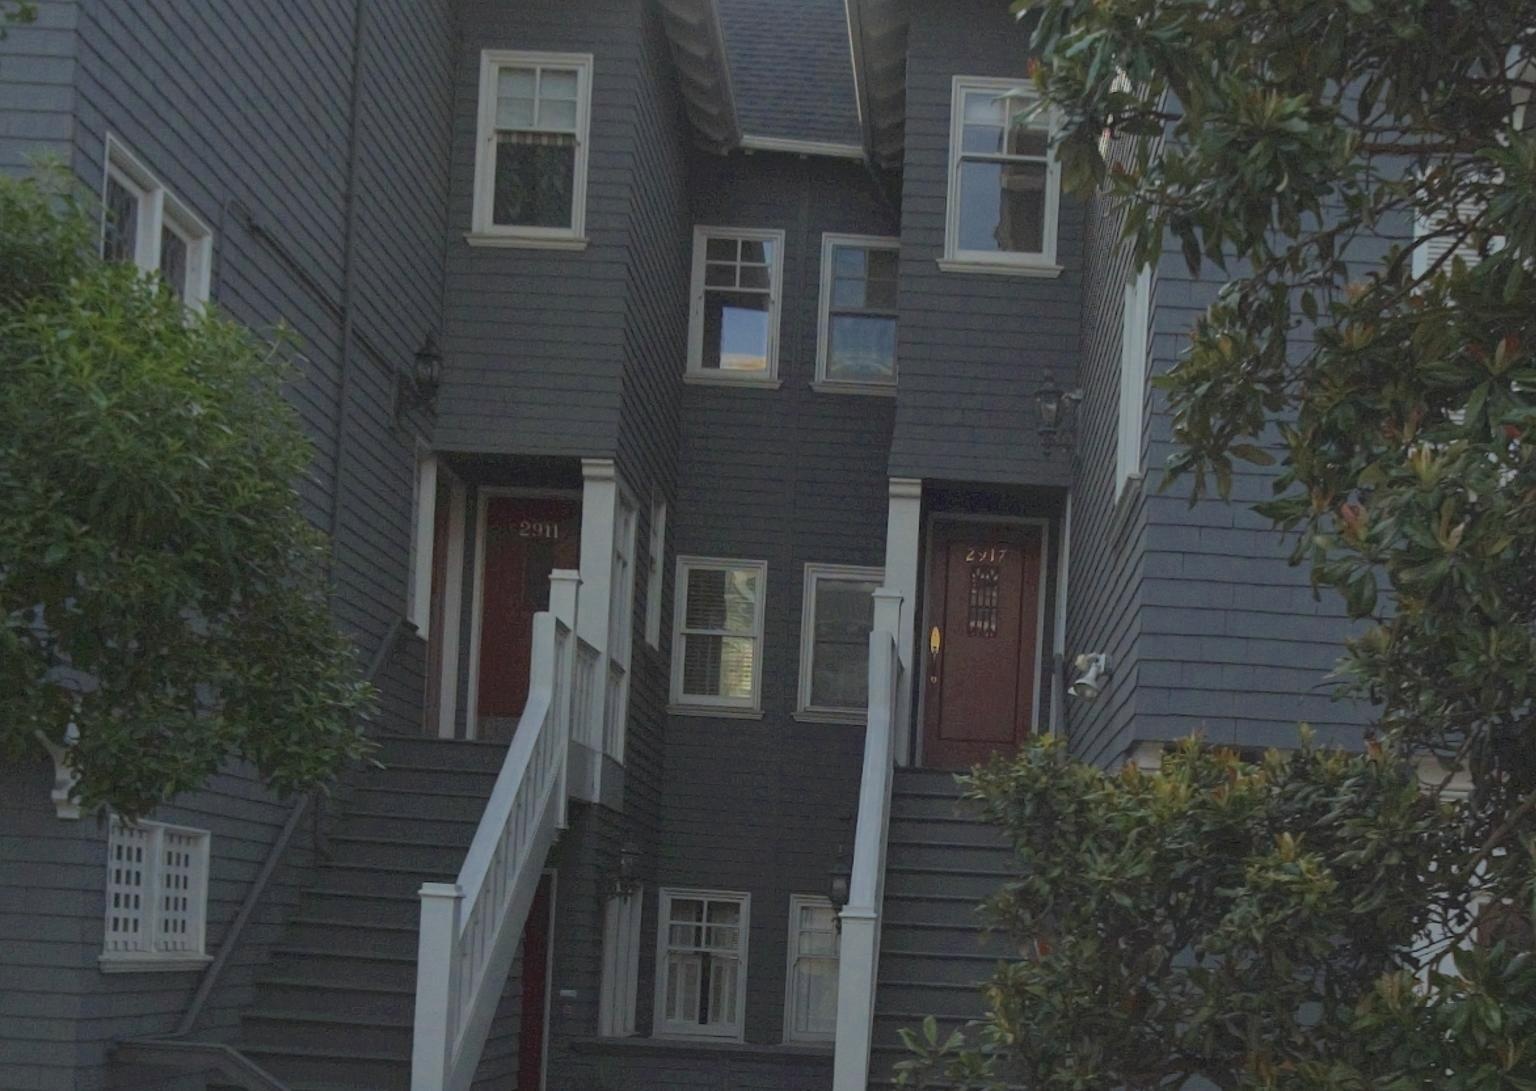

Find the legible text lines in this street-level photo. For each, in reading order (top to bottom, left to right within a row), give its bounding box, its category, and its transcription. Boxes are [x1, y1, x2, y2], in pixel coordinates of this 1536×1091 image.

[515, 518, 563, 543] StreetNumber: 2911
[962, 543, 1012, 565] StreetNumber: 2917